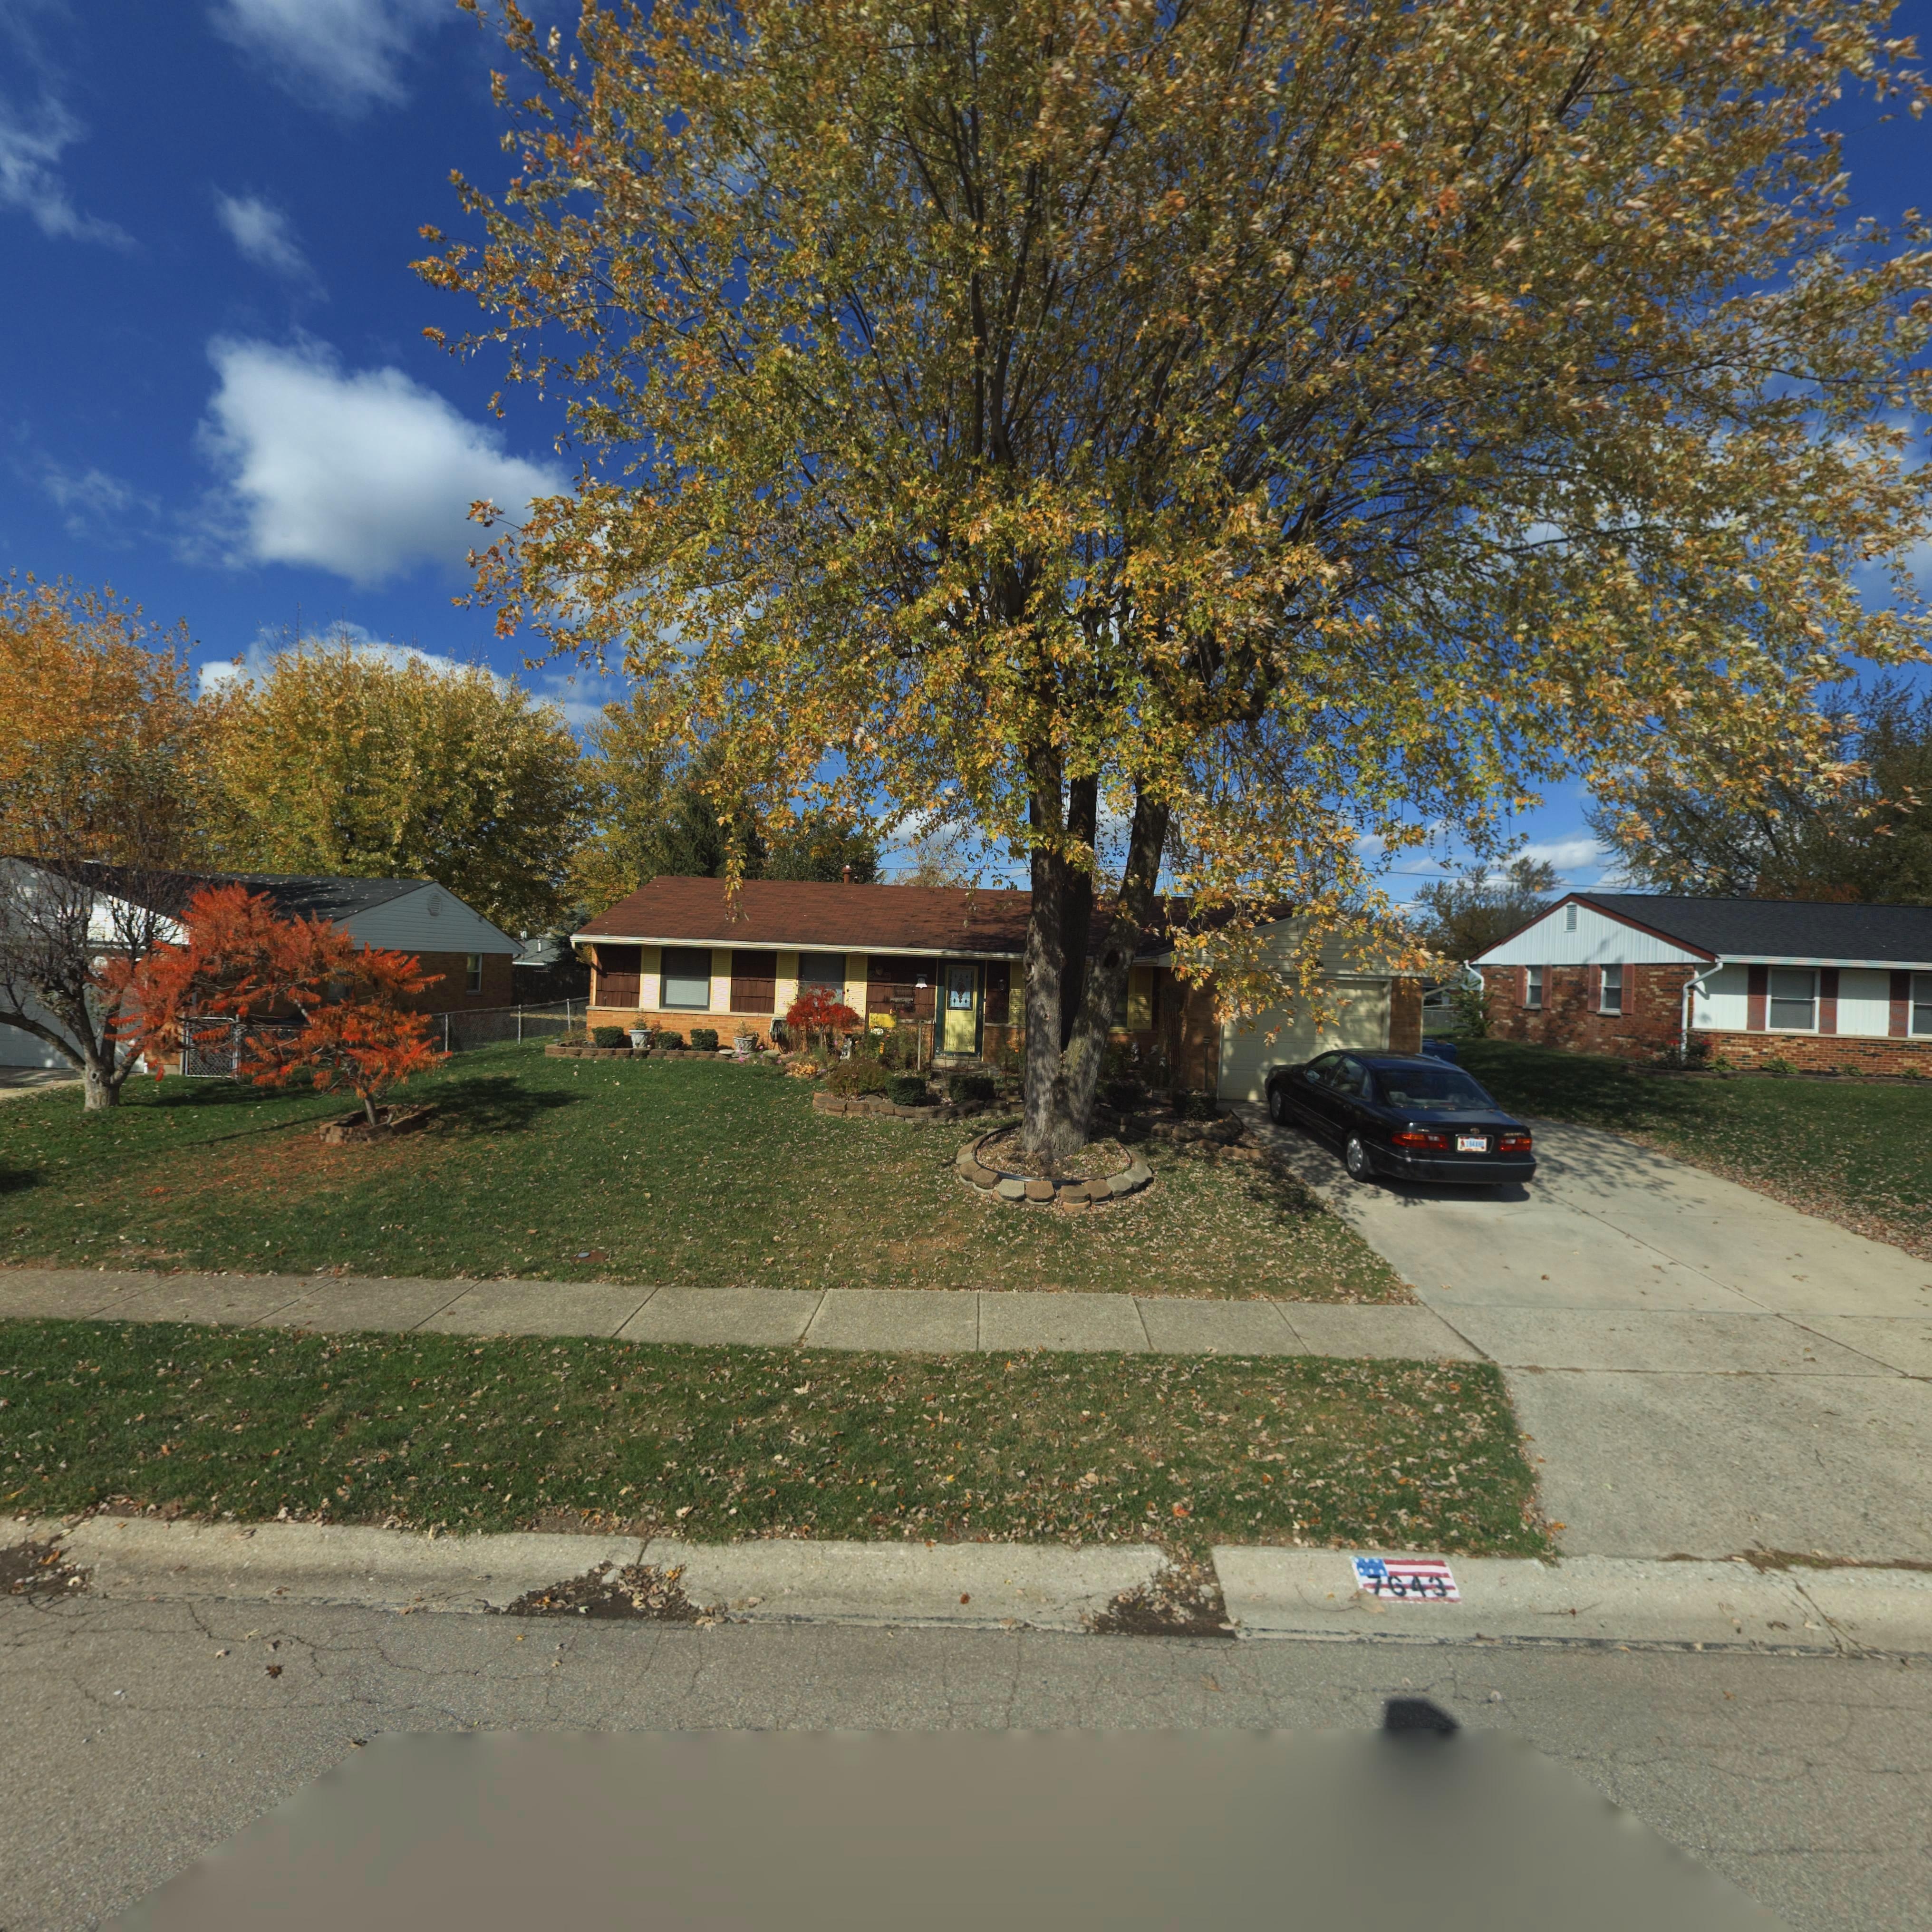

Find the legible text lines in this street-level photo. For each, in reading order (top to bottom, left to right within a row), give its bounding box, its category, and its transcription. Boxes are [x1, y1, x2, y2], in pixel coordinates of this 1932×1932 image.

[1366, 1573, 1448, 1598] StreetNumber: 7643